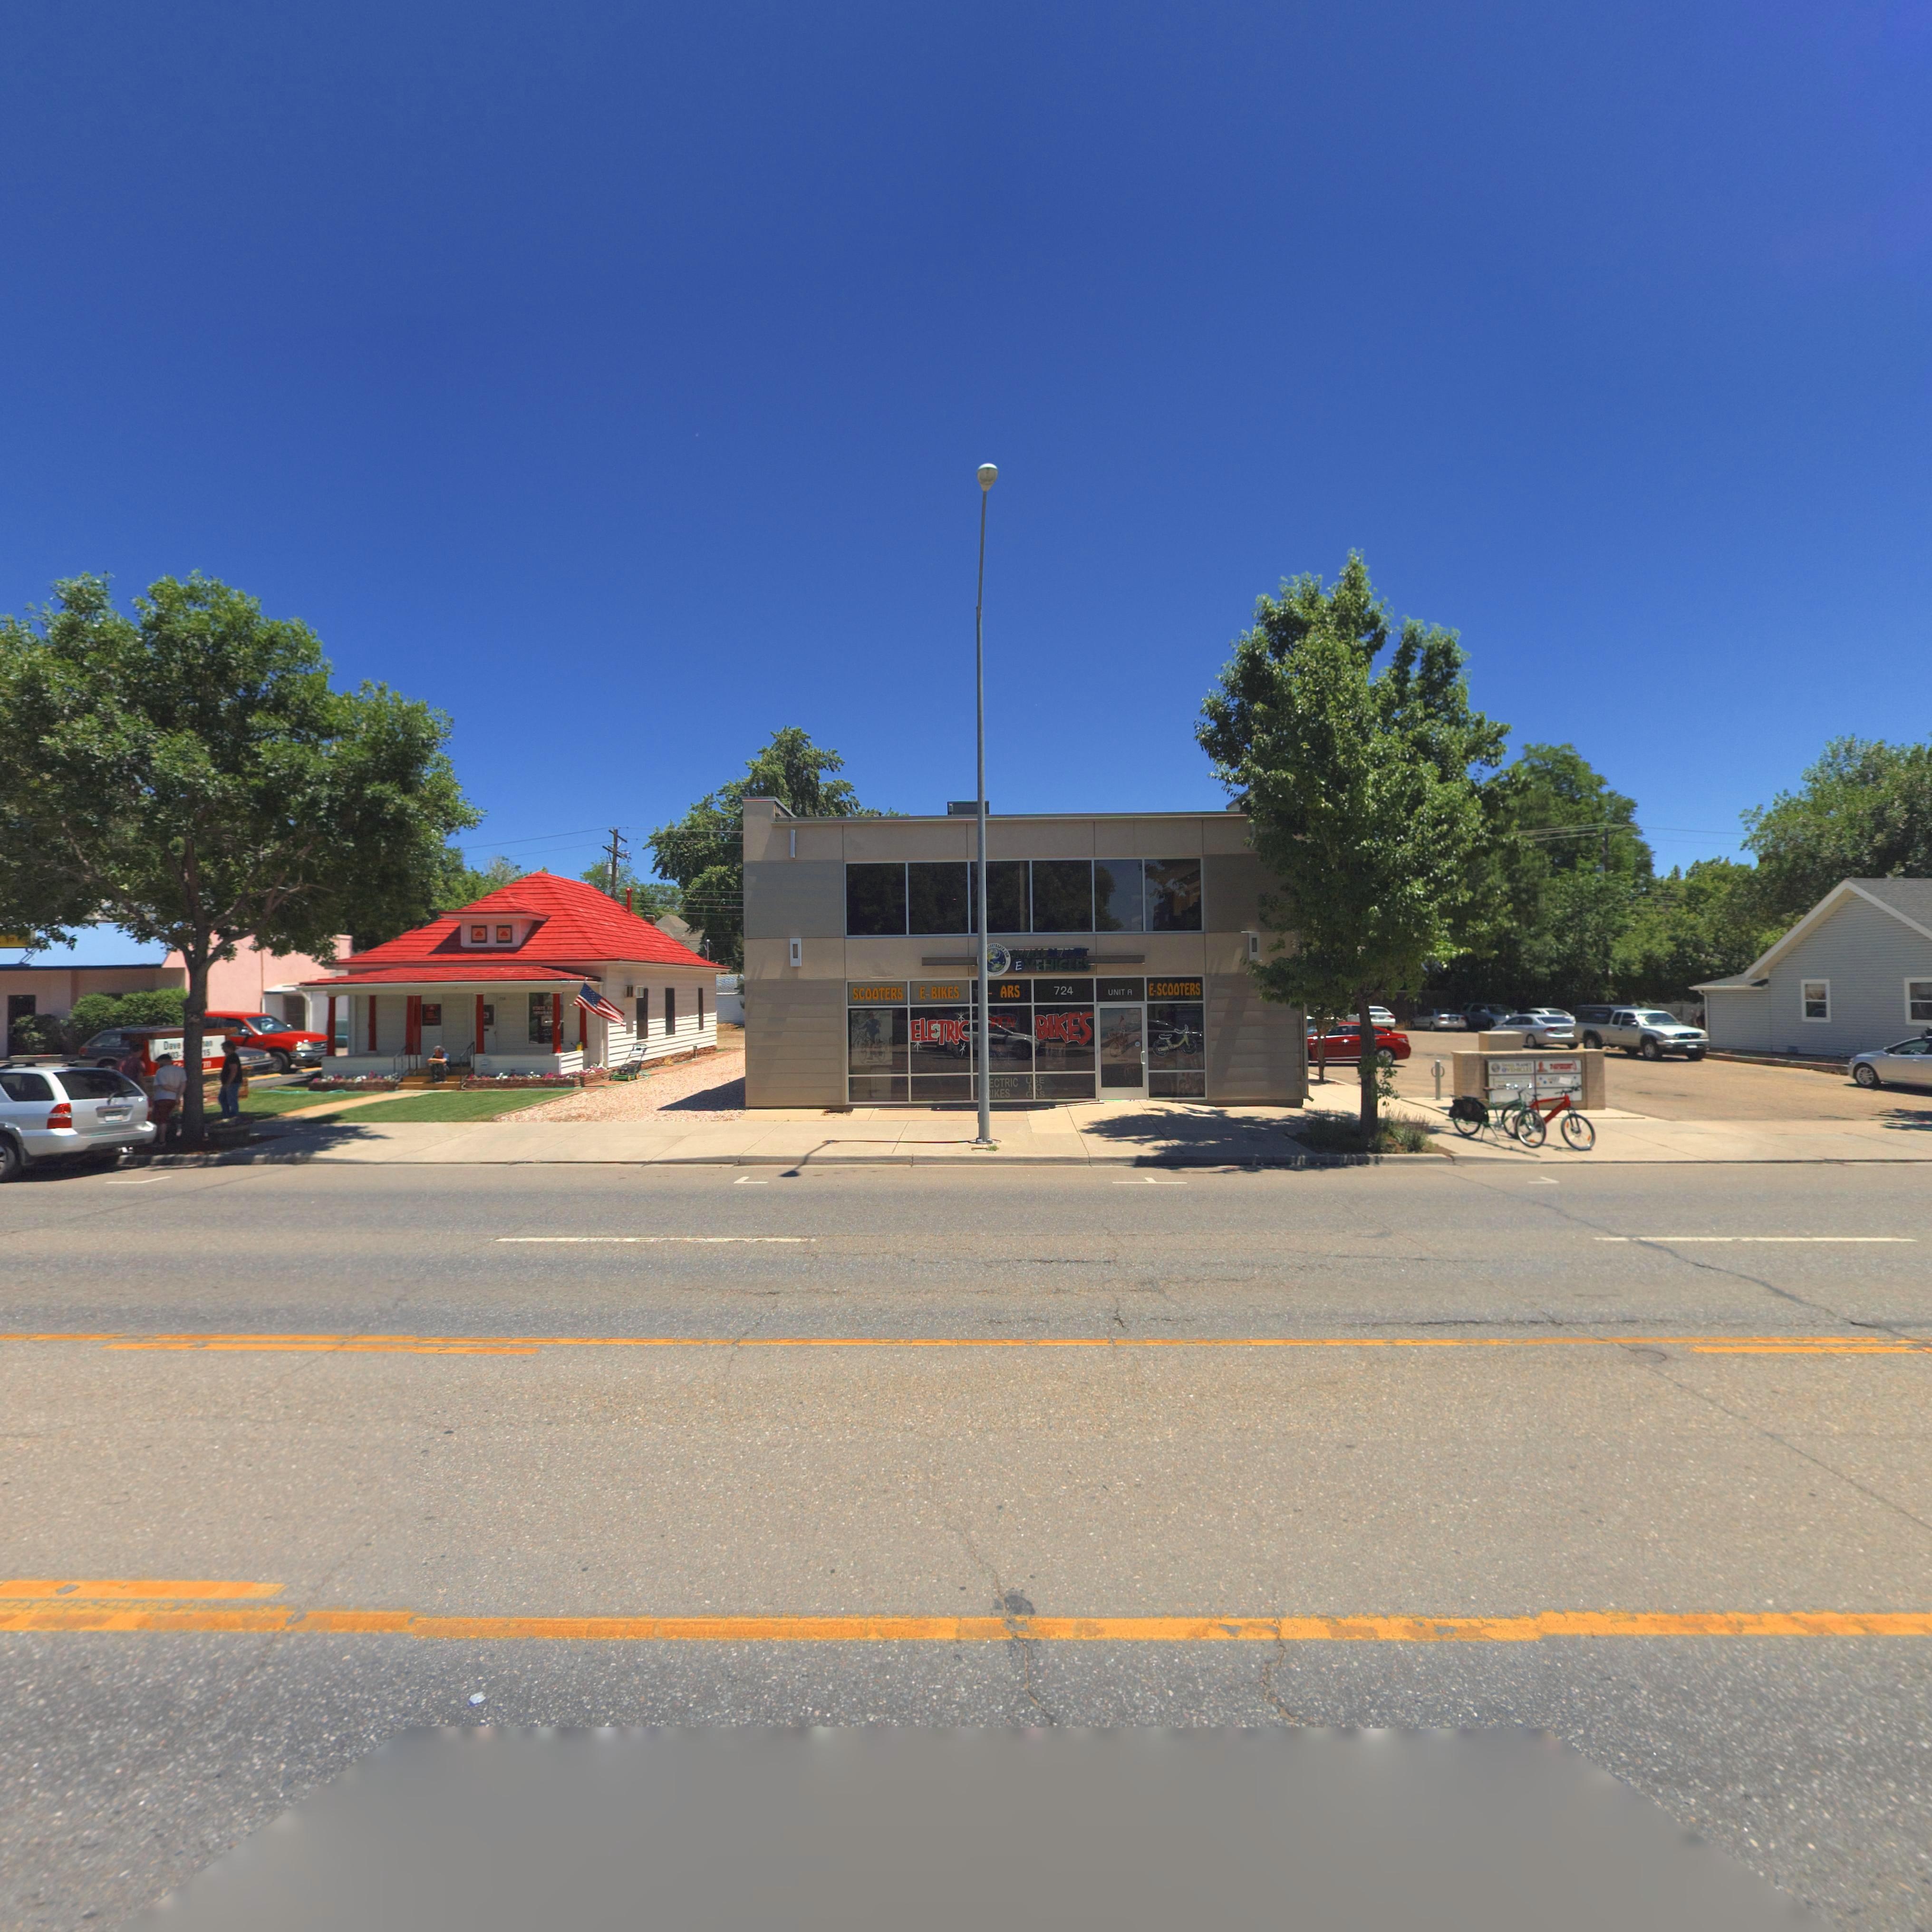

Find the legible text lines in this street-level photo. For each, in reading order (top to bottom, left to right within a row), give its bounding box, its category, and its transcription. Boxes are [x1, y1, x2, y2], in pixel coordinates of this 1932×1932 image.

[1011, 948, 1089, 958] BusinessName: SMALL PLANET
[1015, 958, 1091, 972] BusinessName: E VEHICLES
[1053, 986, 1073, 995] StreetNumber: 724
[1108, 989, 1132, 995] SecondaryUnitDesignator: UNIT A
[499, 996, 506, 1000] StreetNumber: **8
[532, 1006, 553, 1010] BusinessName: STATE FA
[203, 1060, 211, 1068] BusinessName: m
[1501, 1062, 1532, 1067] BusinessName: S**** P**NET
[1505, 1067, 1532, 1072] BusinessName: VEH*CLES